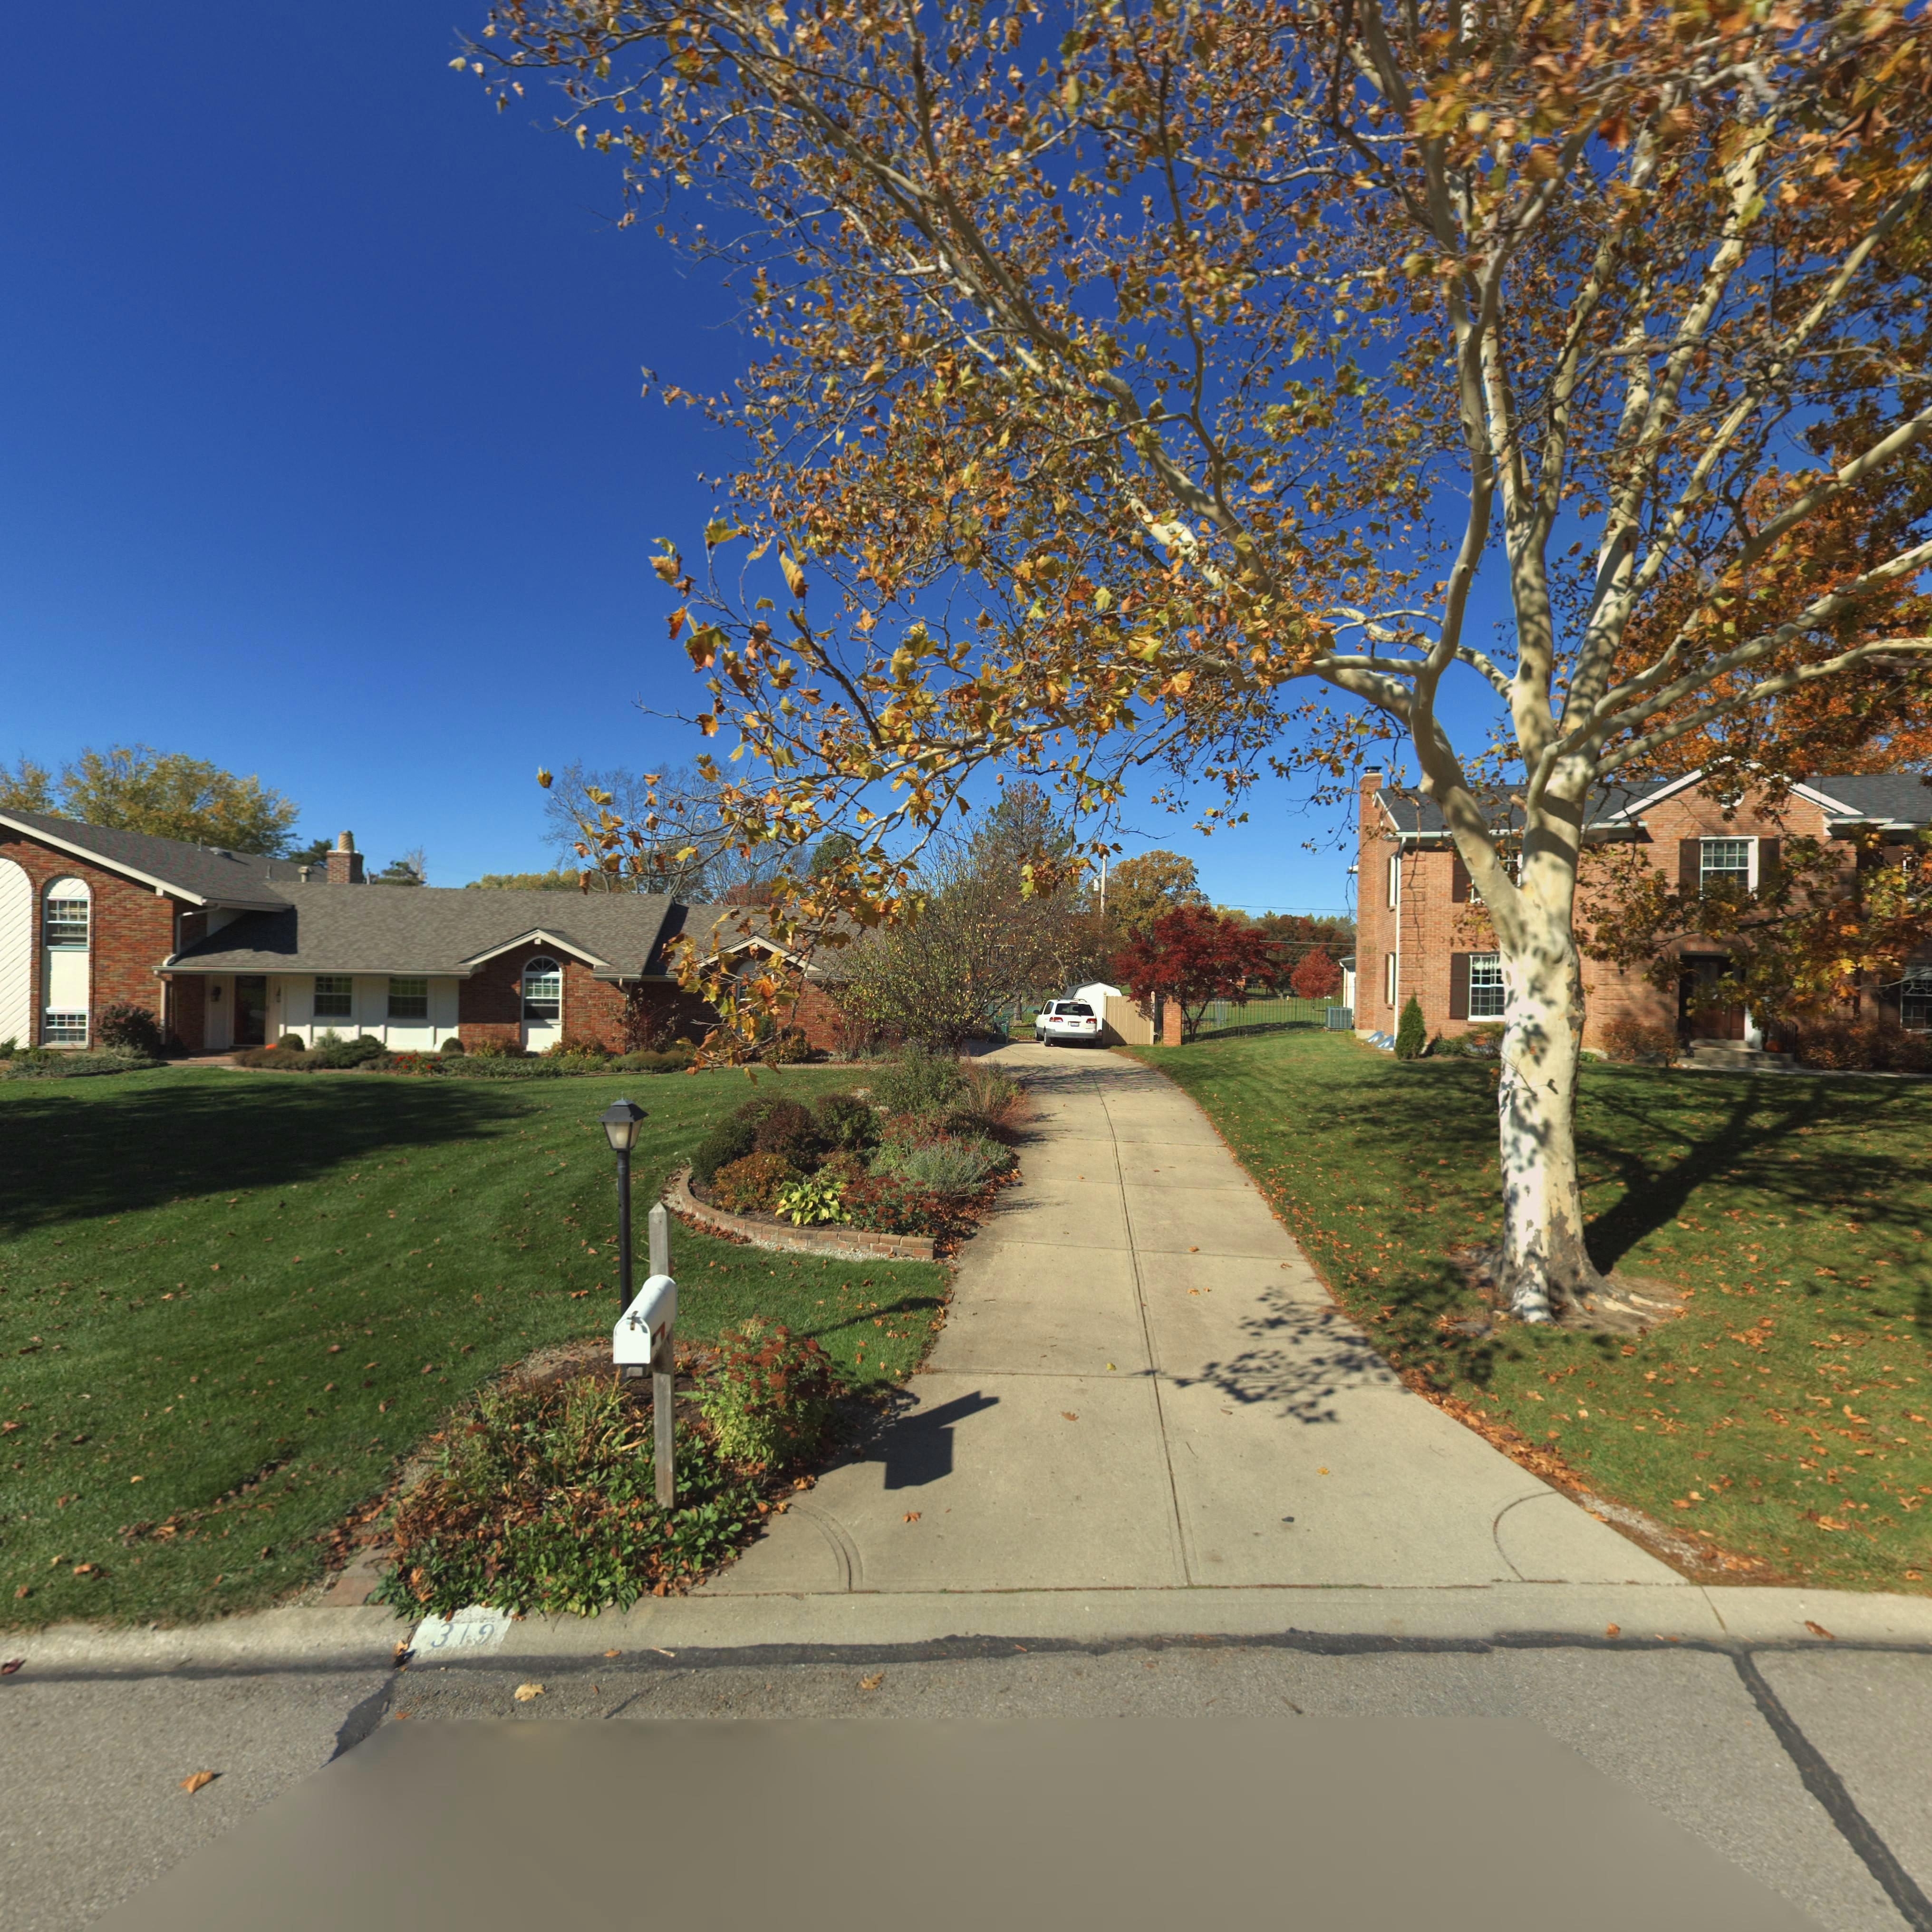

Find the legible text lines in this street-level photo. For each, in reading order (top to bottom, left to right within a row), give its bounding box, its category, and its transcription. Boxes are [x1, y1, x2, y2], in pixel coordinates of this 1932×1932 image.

[429, 1622, 497, 1650] StreetNumber: 319